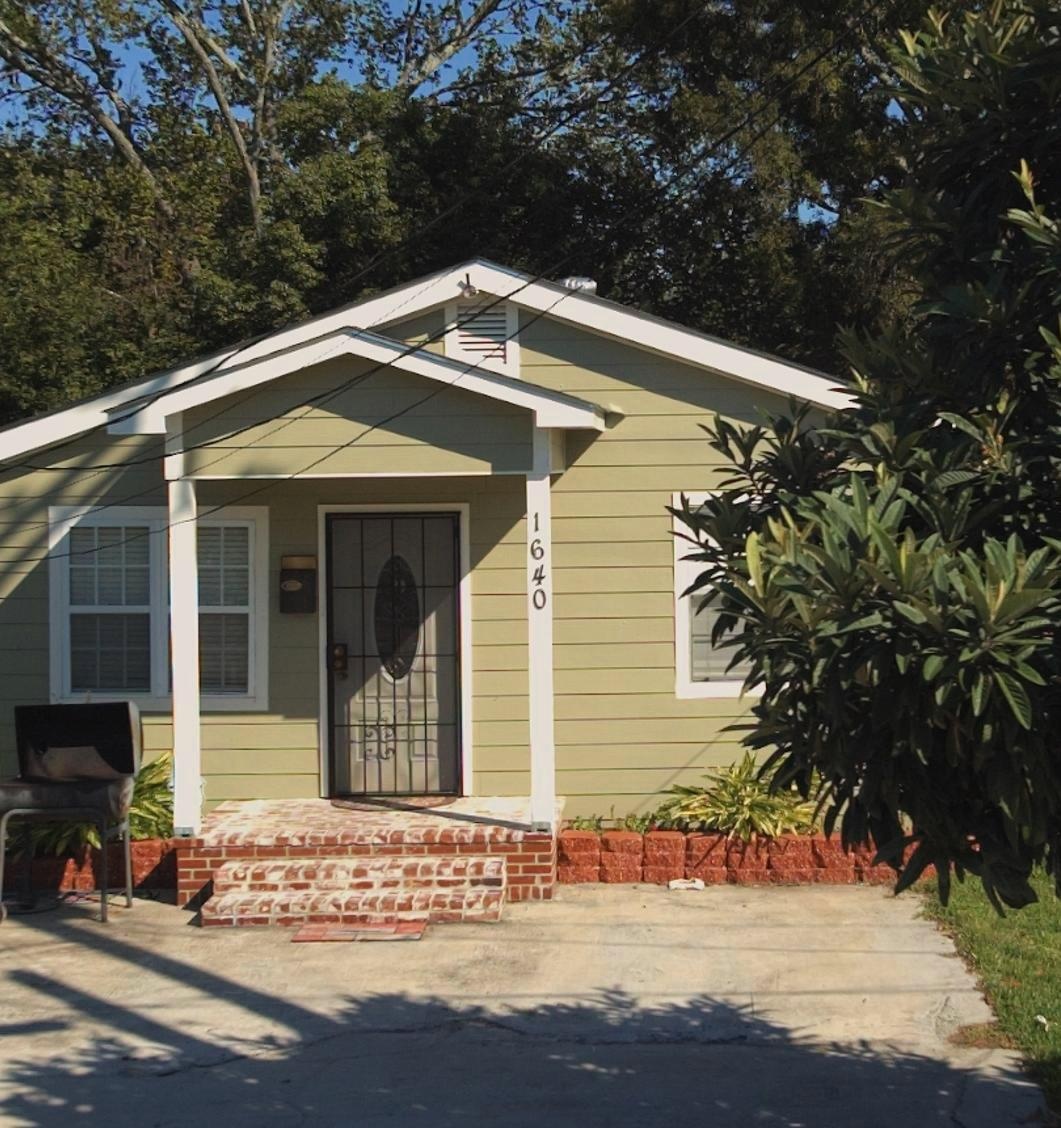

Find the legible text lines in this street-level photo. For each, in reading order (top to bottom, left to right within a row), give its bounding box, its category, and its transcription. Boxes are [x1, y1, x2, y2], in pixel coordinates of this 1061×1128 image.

[529, 511, 548, 610] StreetNumber: 1640